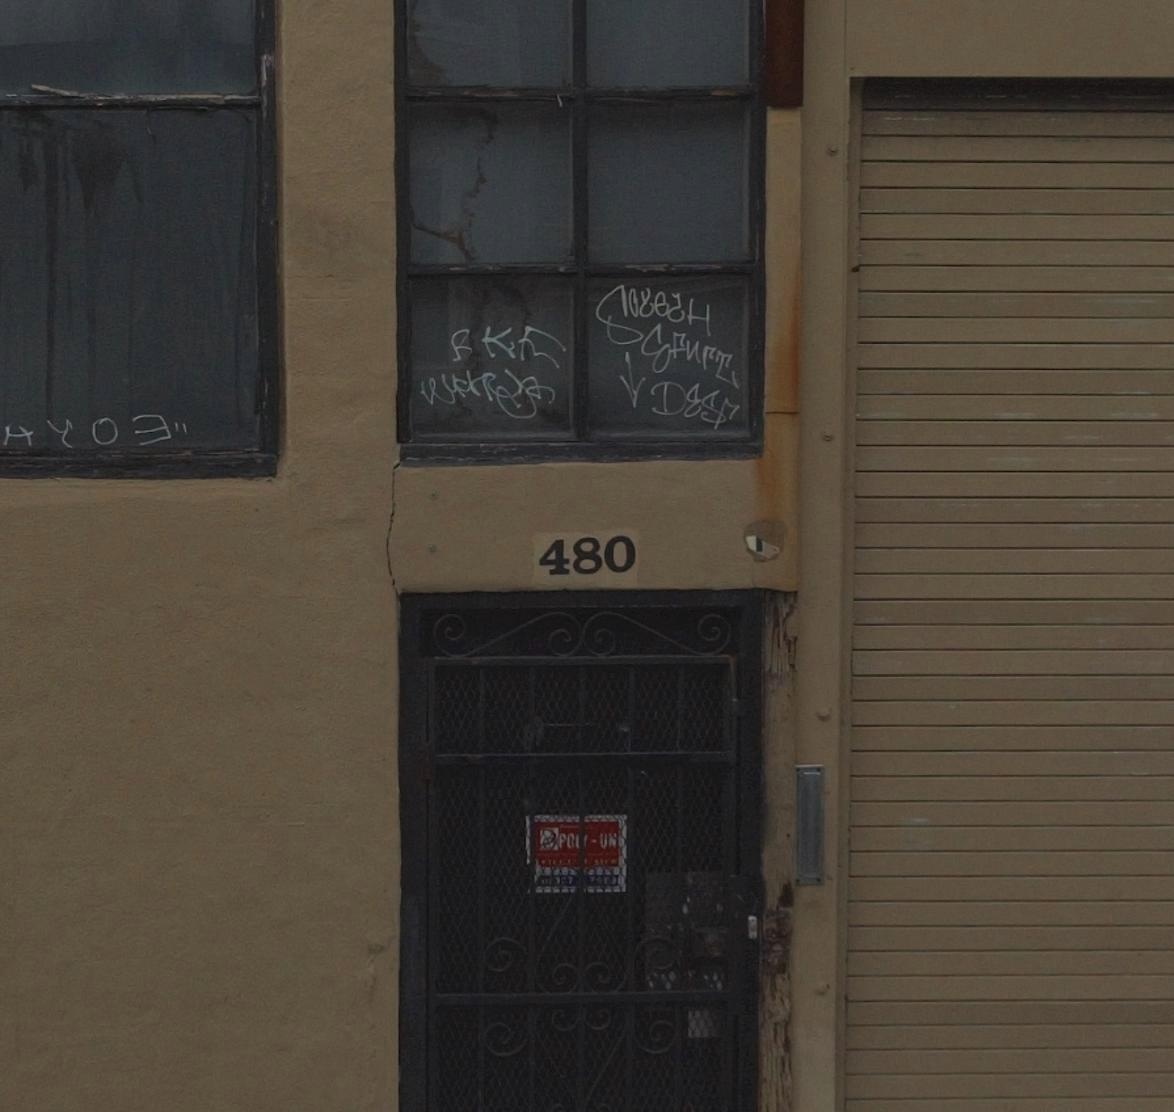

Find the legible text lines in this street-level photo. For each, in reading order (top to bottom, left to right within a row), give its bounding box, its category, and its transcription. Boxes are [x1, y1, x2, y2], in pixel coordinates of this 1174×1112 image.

[615, 280, 714, 340] None: *O*E*H
[415, 368, 460, 409] None: W
[658, 378, 690, 418] None: D
[1, 409, 178, 449] None: HYO*
[535, 532, 640, 578] StreetNumber: 480
[556, 830, 619, 851] None: PO** - UN